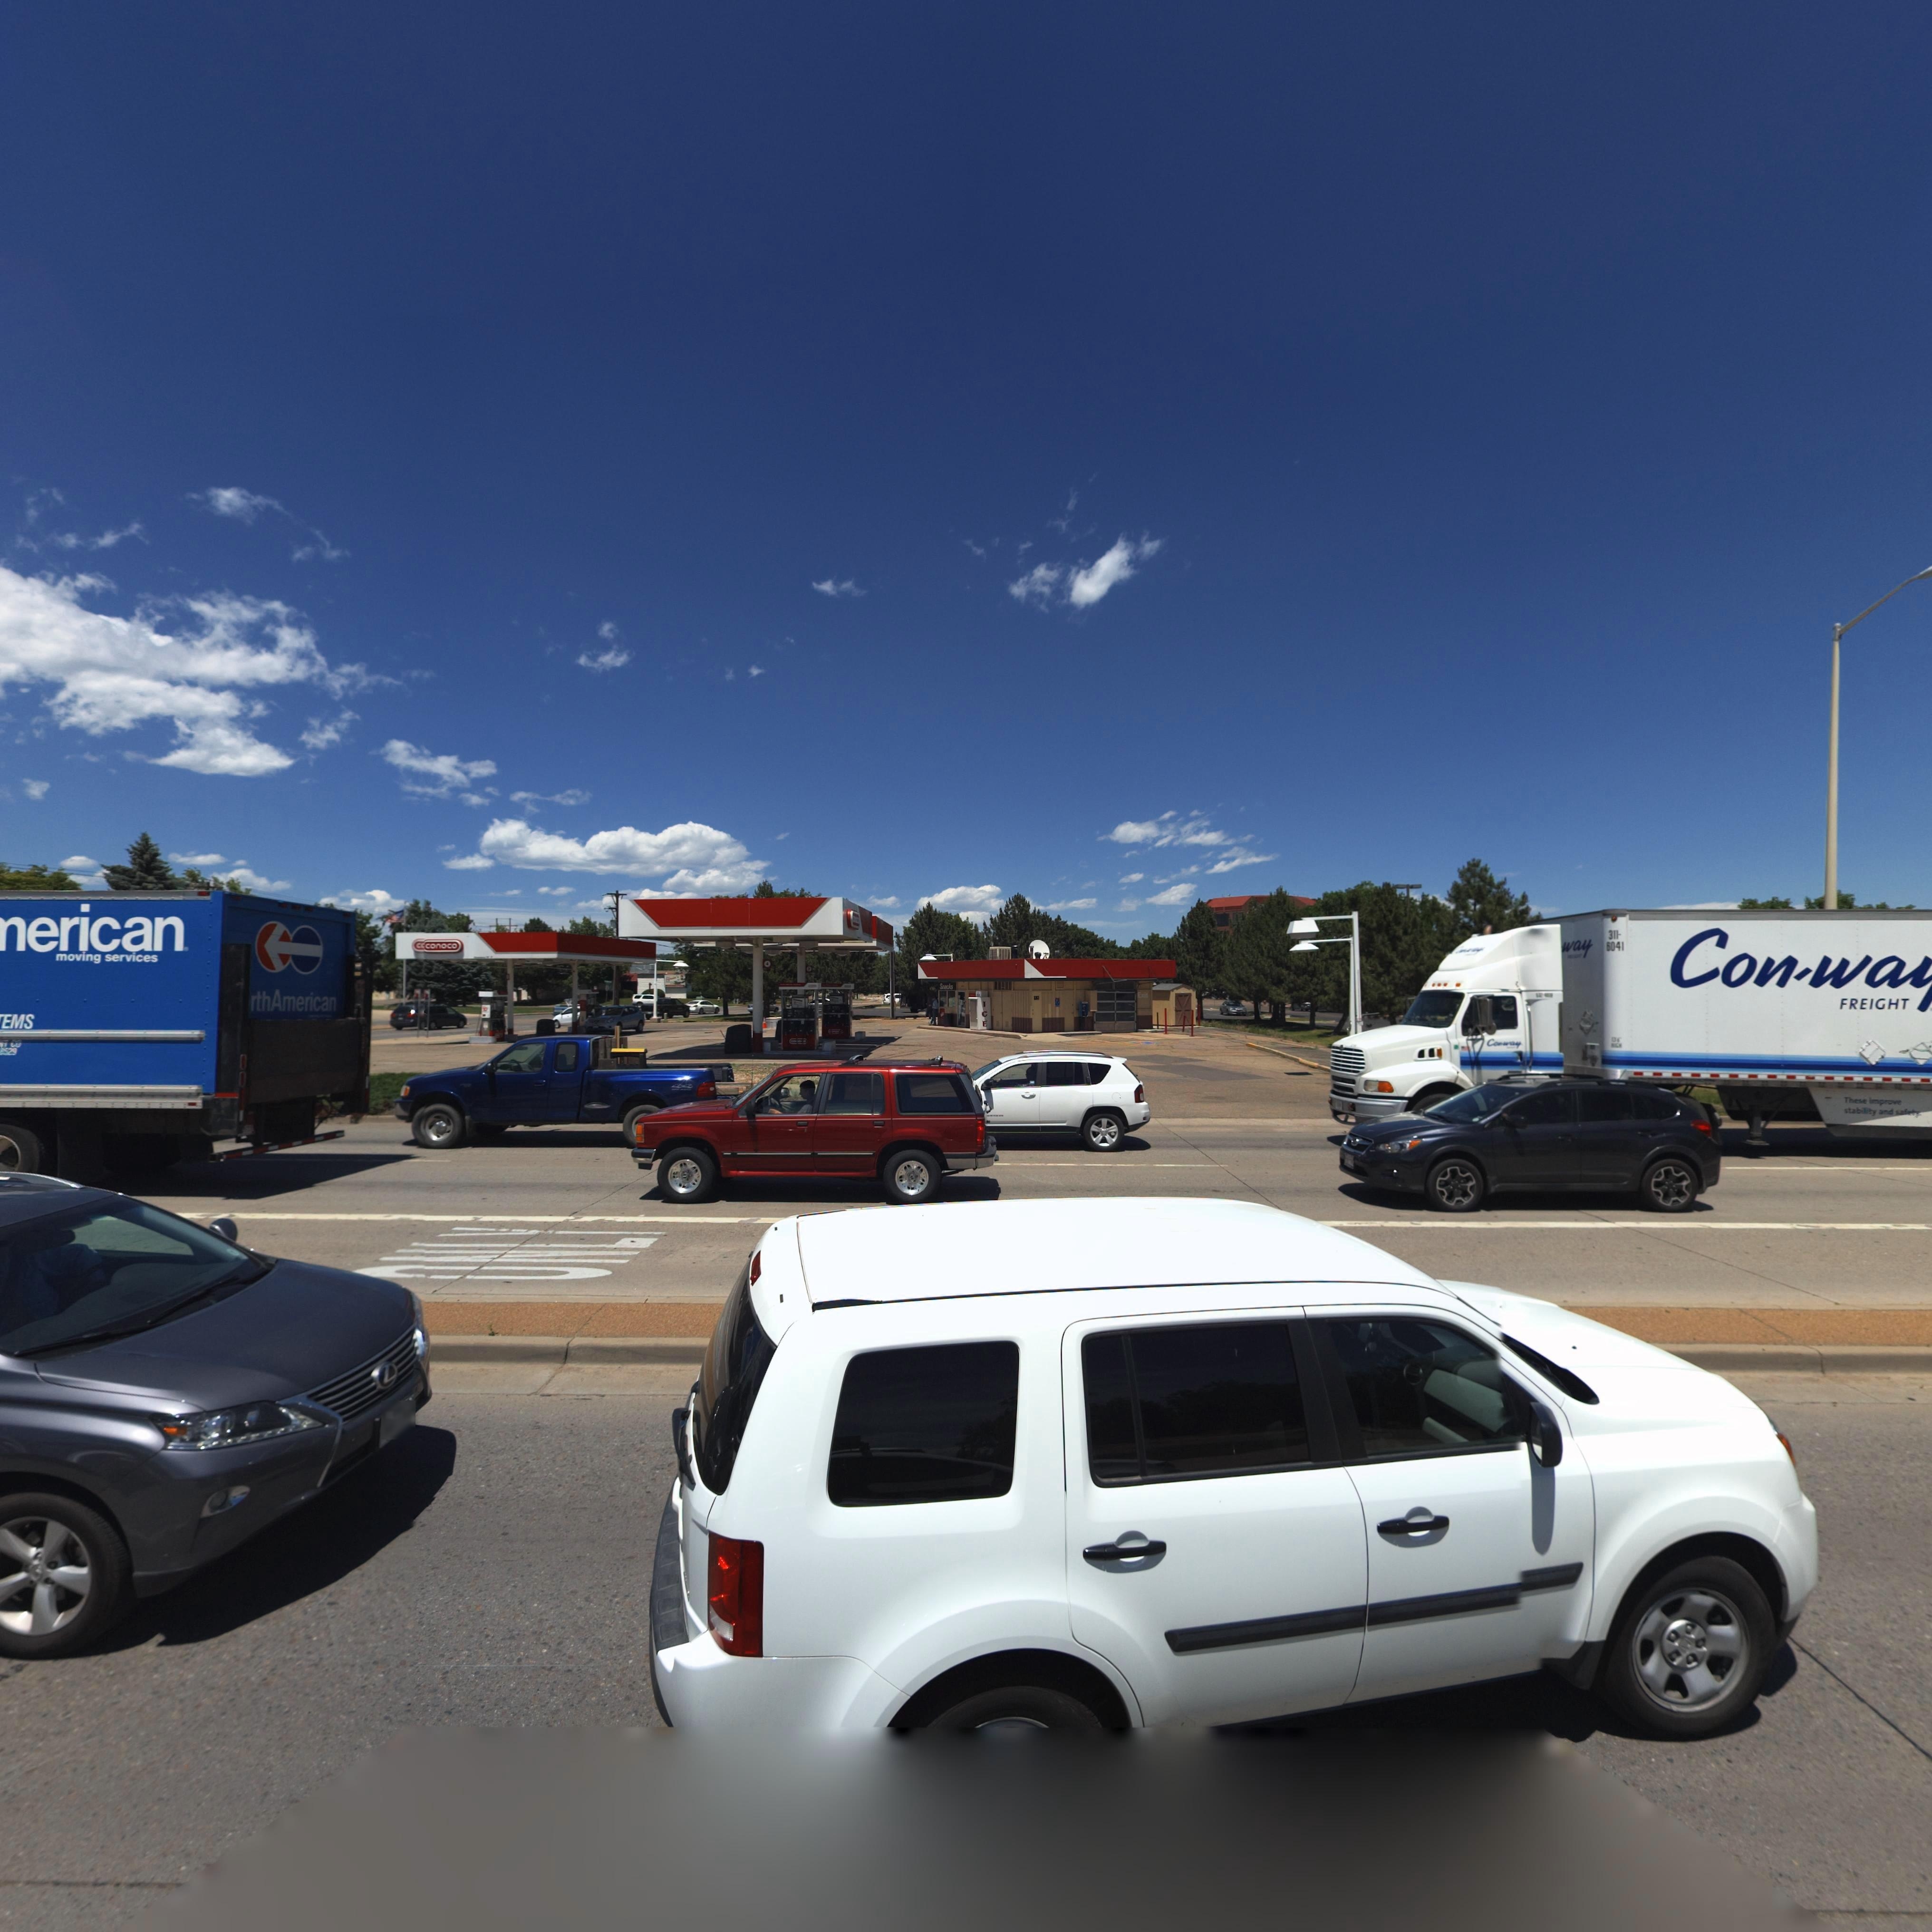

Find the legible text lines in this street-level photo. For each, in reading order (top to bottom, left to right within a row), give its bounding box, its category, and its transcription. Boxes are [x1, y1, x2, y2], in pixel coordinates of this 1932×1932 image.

[415, 942, 458, 949] BusinessName: c*conoco